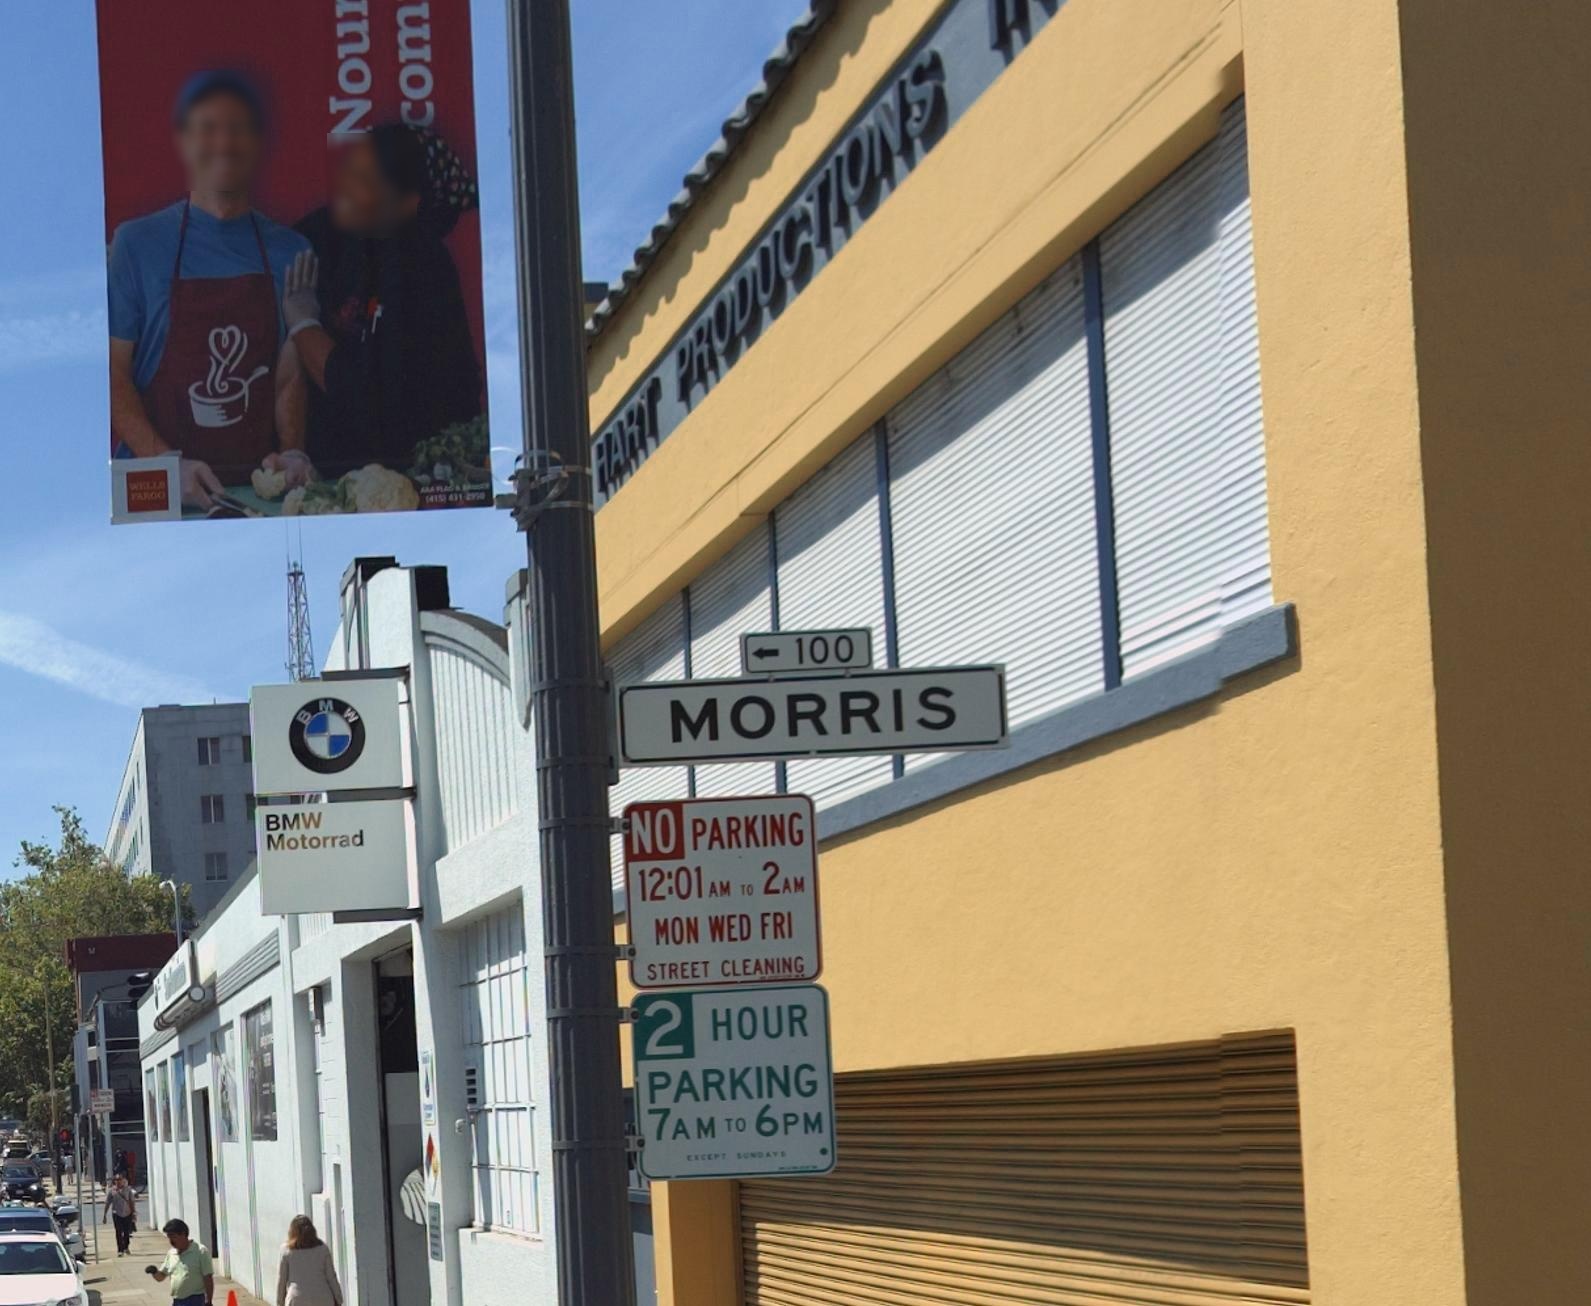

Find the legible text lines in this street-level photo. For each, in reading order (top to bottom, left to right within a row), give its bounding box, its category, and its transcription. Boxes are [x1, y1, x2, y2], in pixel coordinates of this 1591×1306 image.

[326, 18, 376, 150] None: Nou
[394, 1, 437, 130] None: com
[592, 40, 947, 495] BusinessName: HART PRODUCTIONS
[128, 479, 165, 490] None: WELLS
[130, 490, 165, 501] None: FARGO
[751, 633, 857, 668] StreetNumberRange: <-100
[291, 696, 362, 725] None: B M W
[668, 684, 960, 746] StreetName: MORRIS
[263, 810, 324, 832] BusinessName: BMW
[264, 827, 364, 852] BusinessName: Motorrad
[628, 793, 808, 858] None: NO PARKING
[636, 855, 809, 904] None: 12:01AM TO 2AM
[651, 907, 798, 947] None: MON WED FRI
[645, 954, 807, 982] None: STREET CLEANING
[641, 991, 812, 1058] None: 2 HOUR
[644, 1061, 821, 1107] None: PARKING
[645, 1099, 825, 1142] None: 7AM TO 6PM